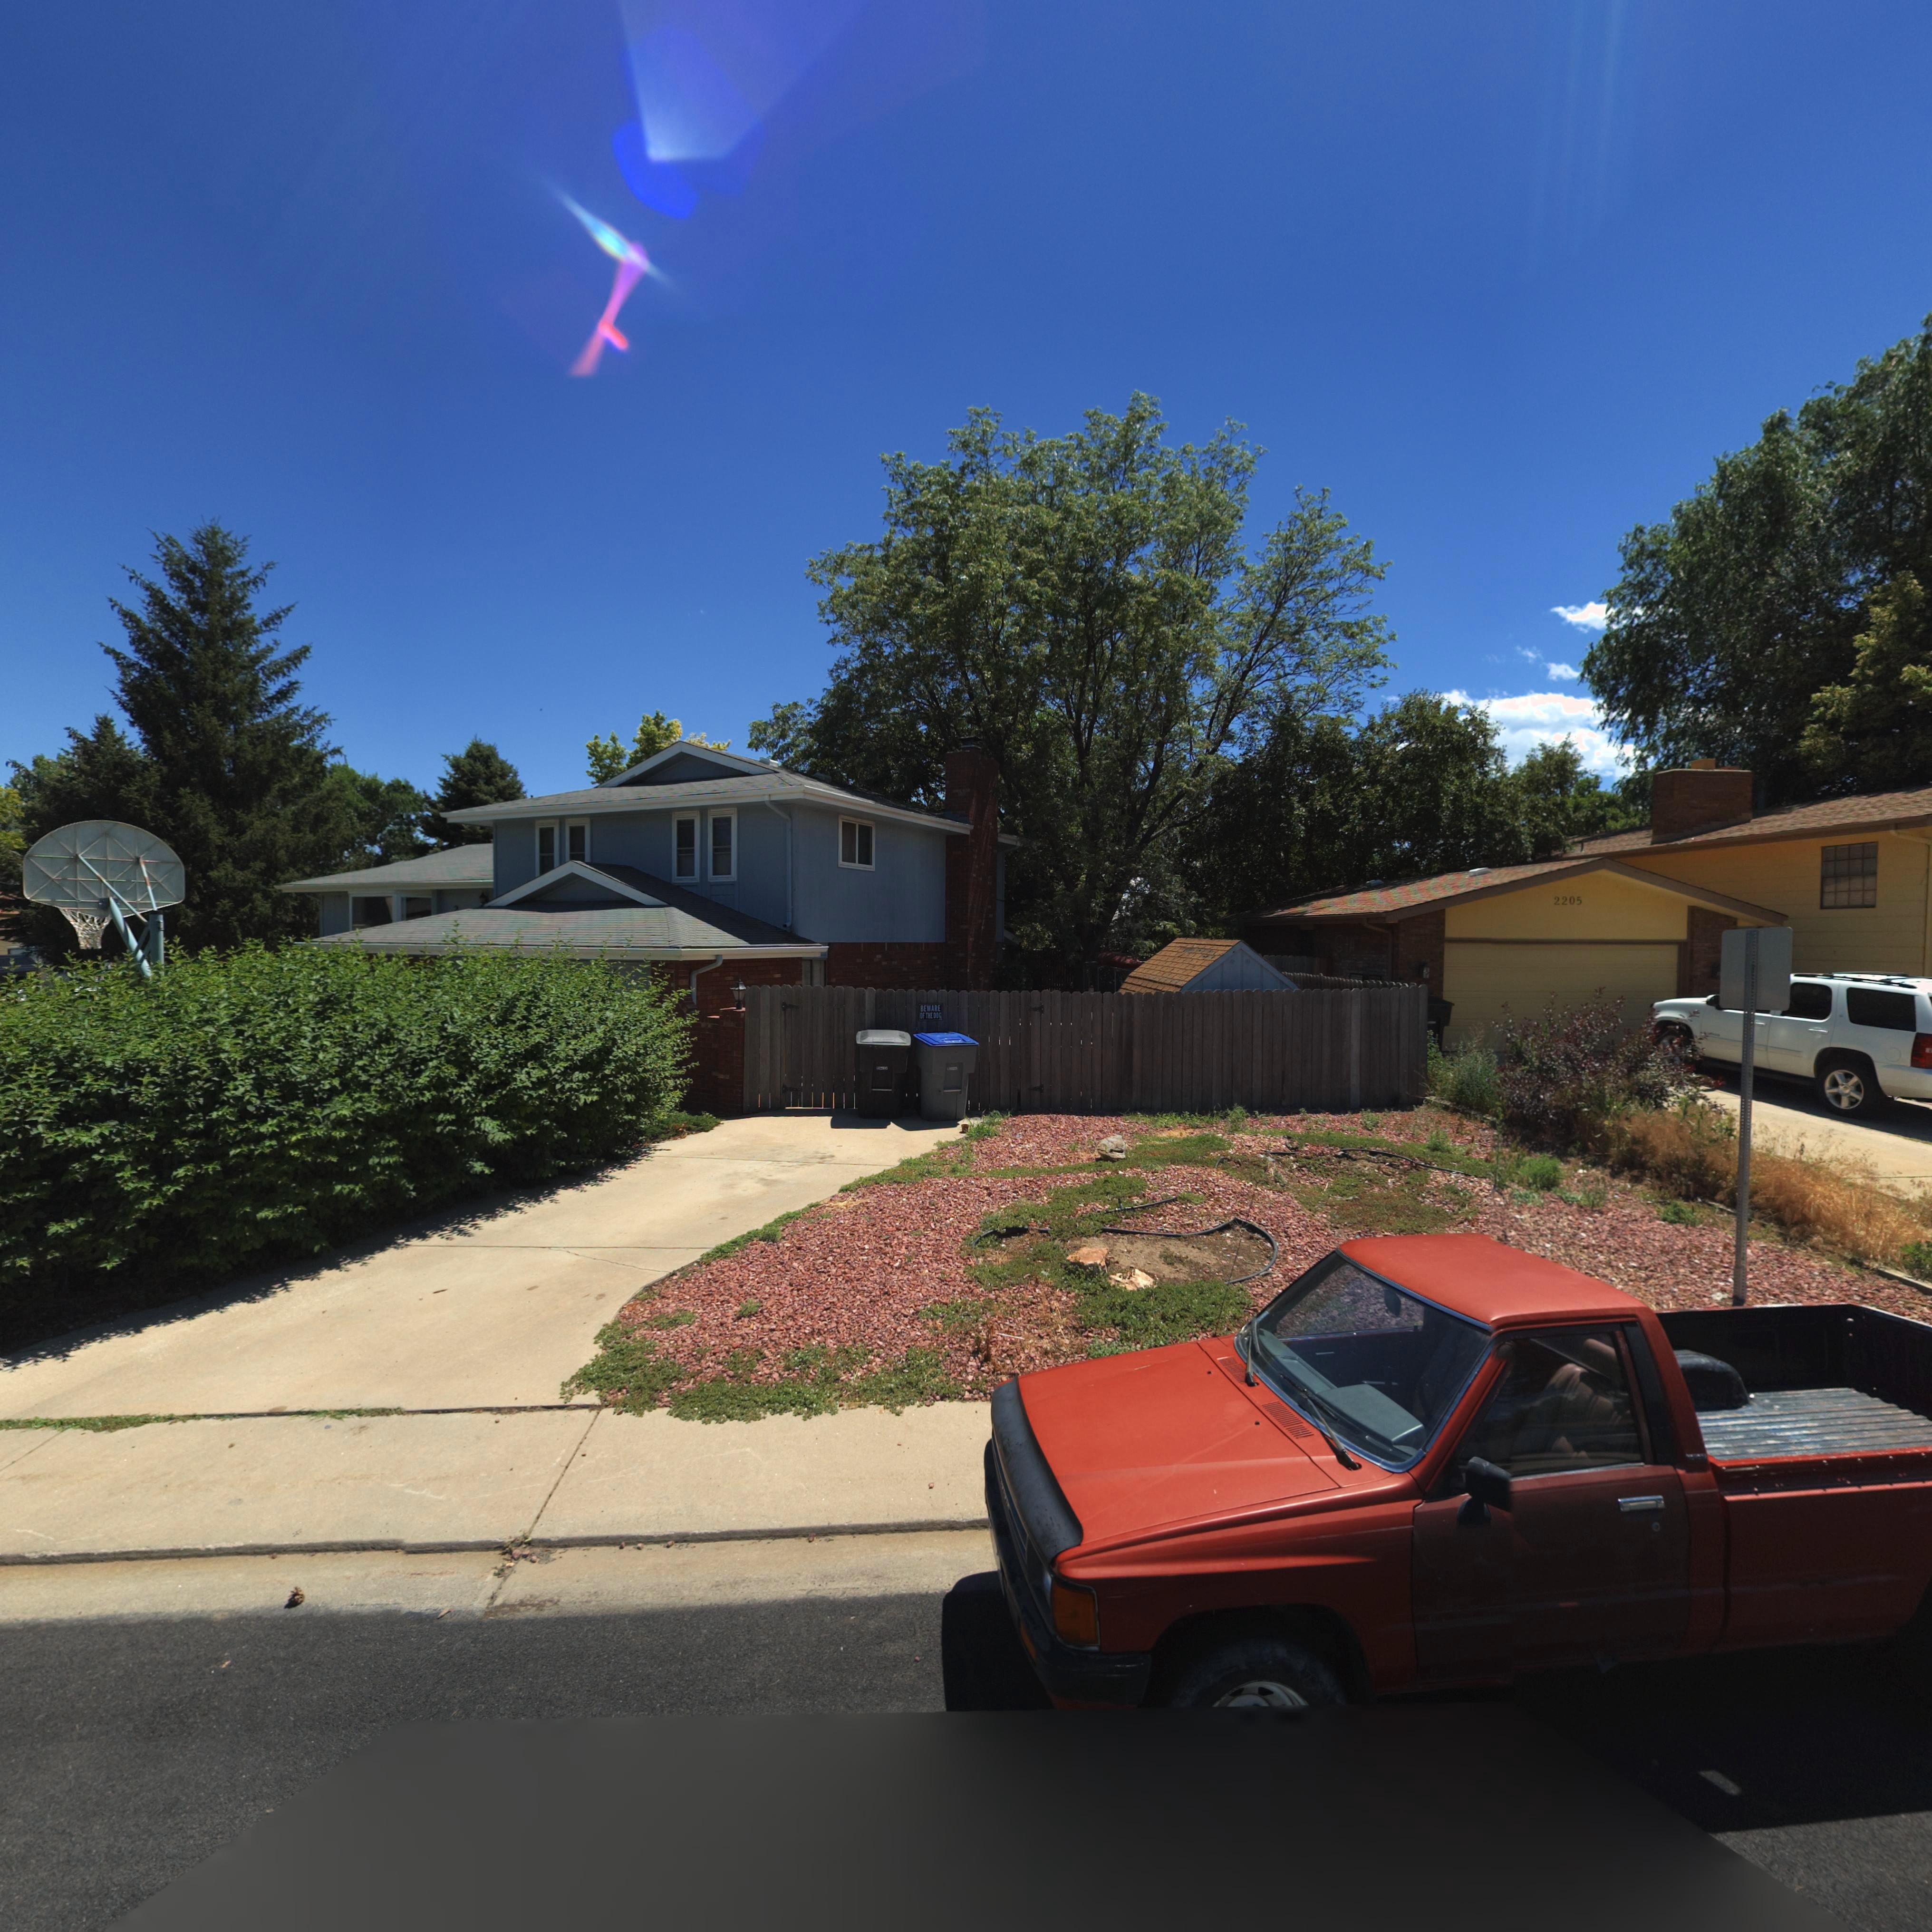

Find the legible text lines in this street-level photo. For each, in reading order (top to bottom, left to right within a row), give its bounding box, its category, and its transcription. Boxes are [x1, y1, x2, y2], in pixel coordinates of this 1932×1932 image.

[1552, 894, 1583, 907] StreetNumber: 2205